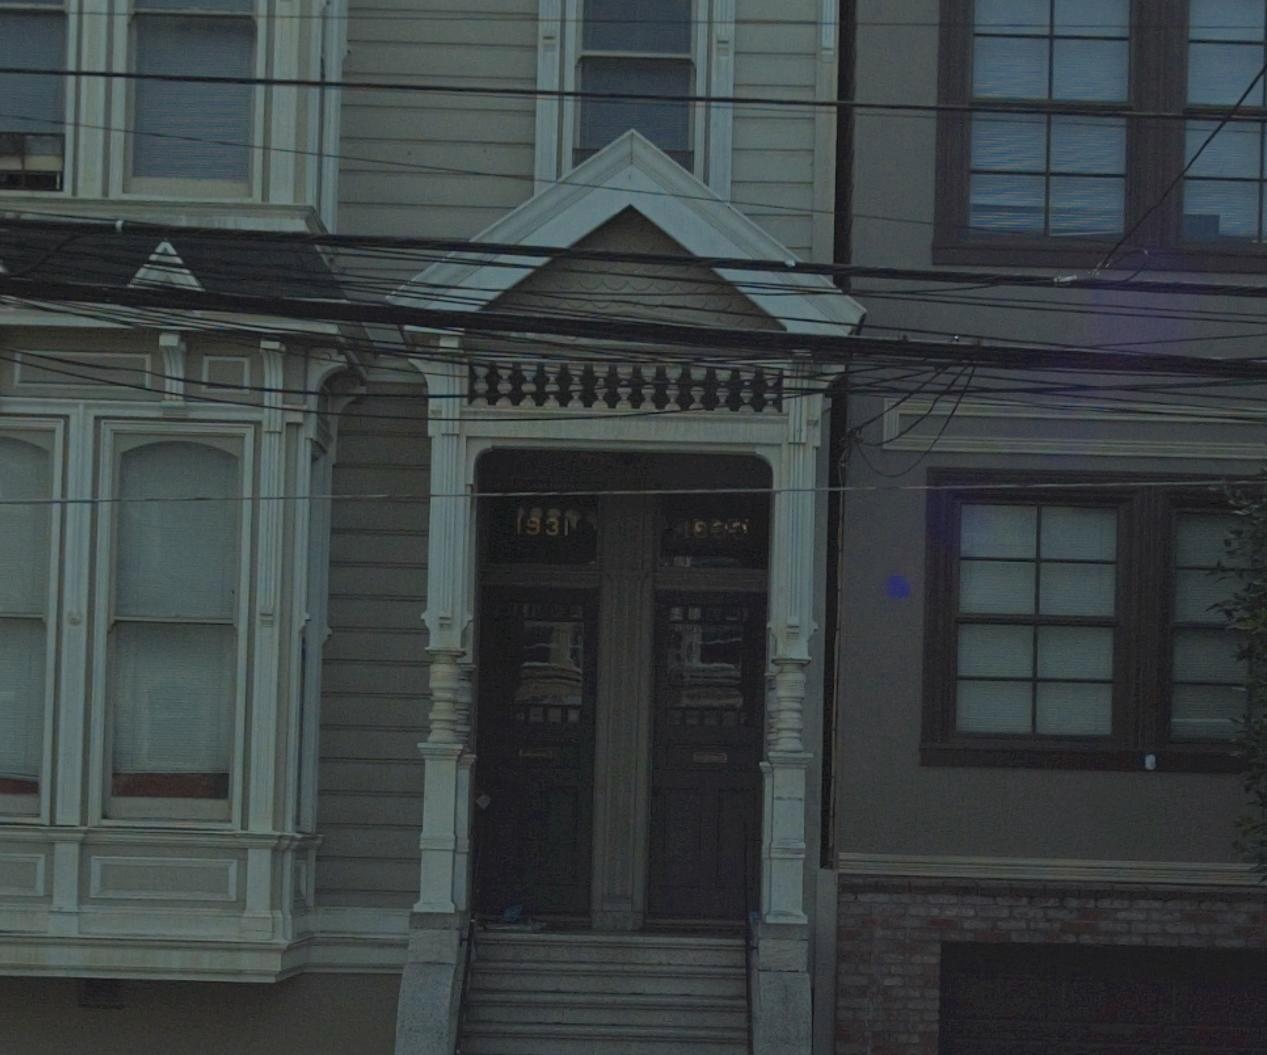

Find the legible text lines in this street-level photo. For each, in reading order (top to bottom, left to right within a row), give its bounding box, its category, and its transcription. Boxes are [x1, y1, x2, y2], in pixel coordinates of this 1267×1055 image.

[515, 515, 571, 538] StreetNumber: 1931
[680, 515, 751, 543] StreetNumber: 1***